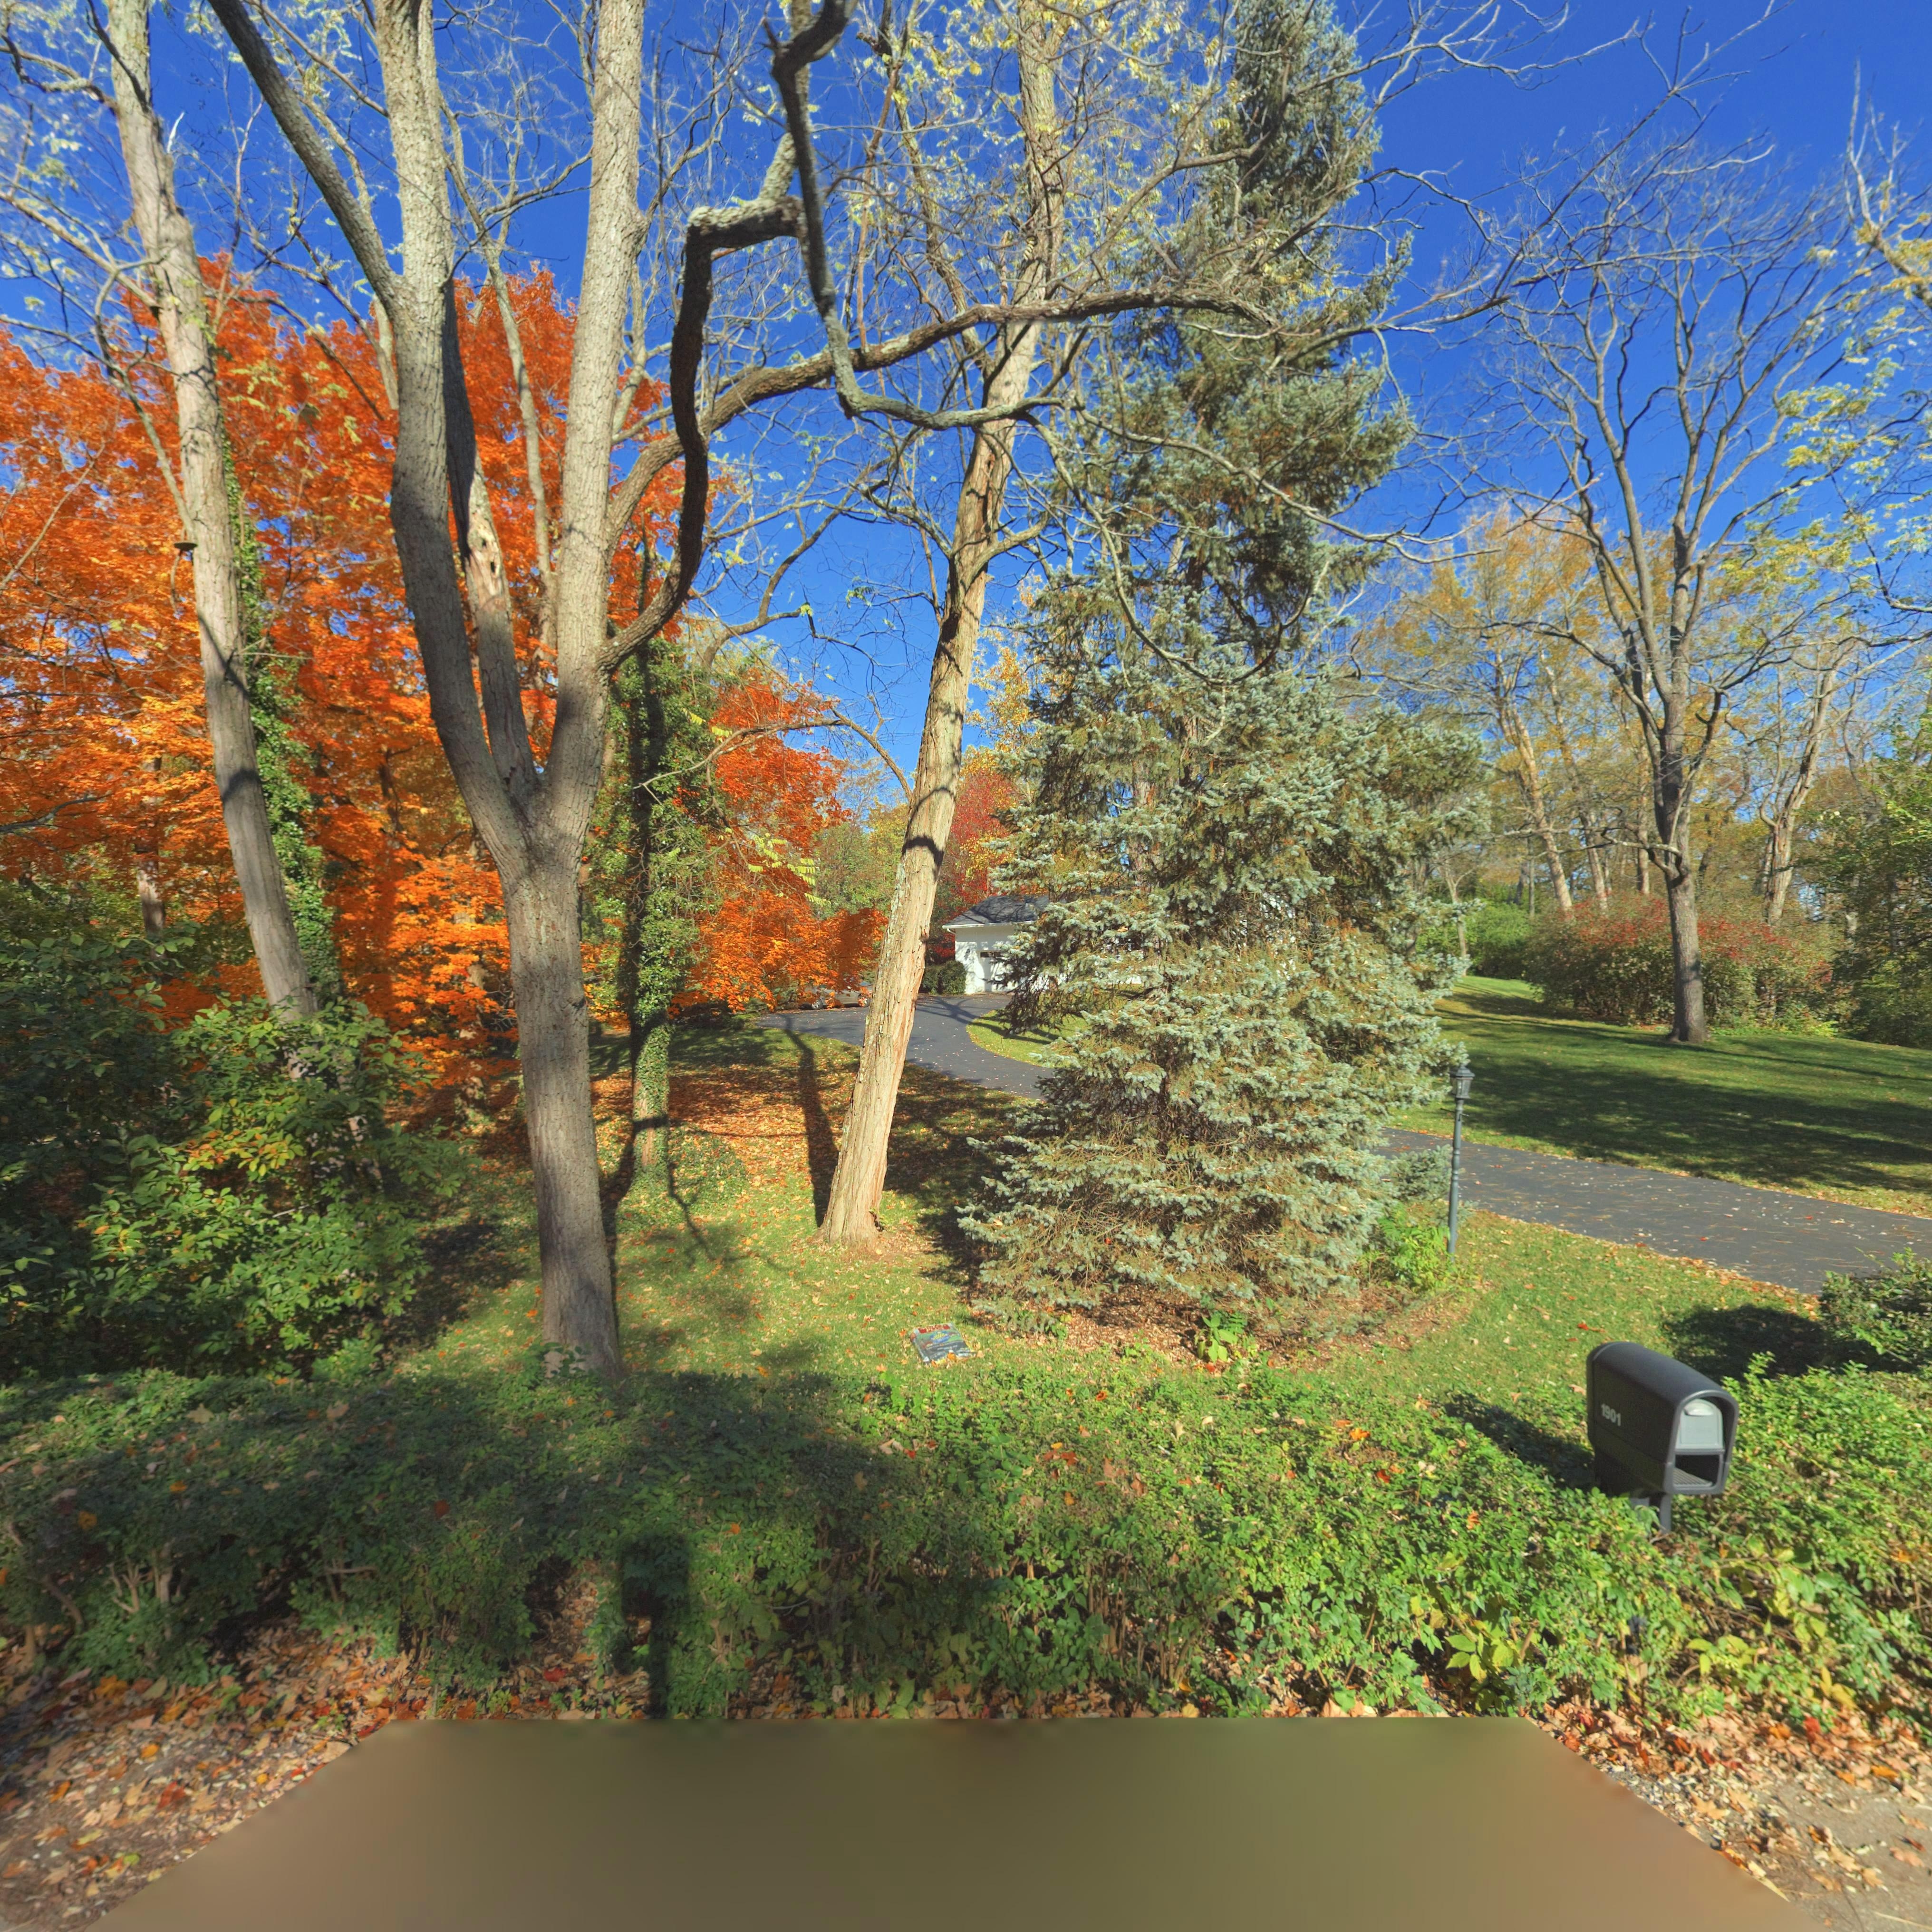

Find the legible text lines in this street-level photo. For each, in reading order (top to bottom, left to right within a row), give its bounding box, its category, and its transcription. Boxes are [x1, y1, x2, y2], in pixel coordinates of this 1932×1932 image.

[1600, 1401, 1623, 1429] StreetNumber: 1901